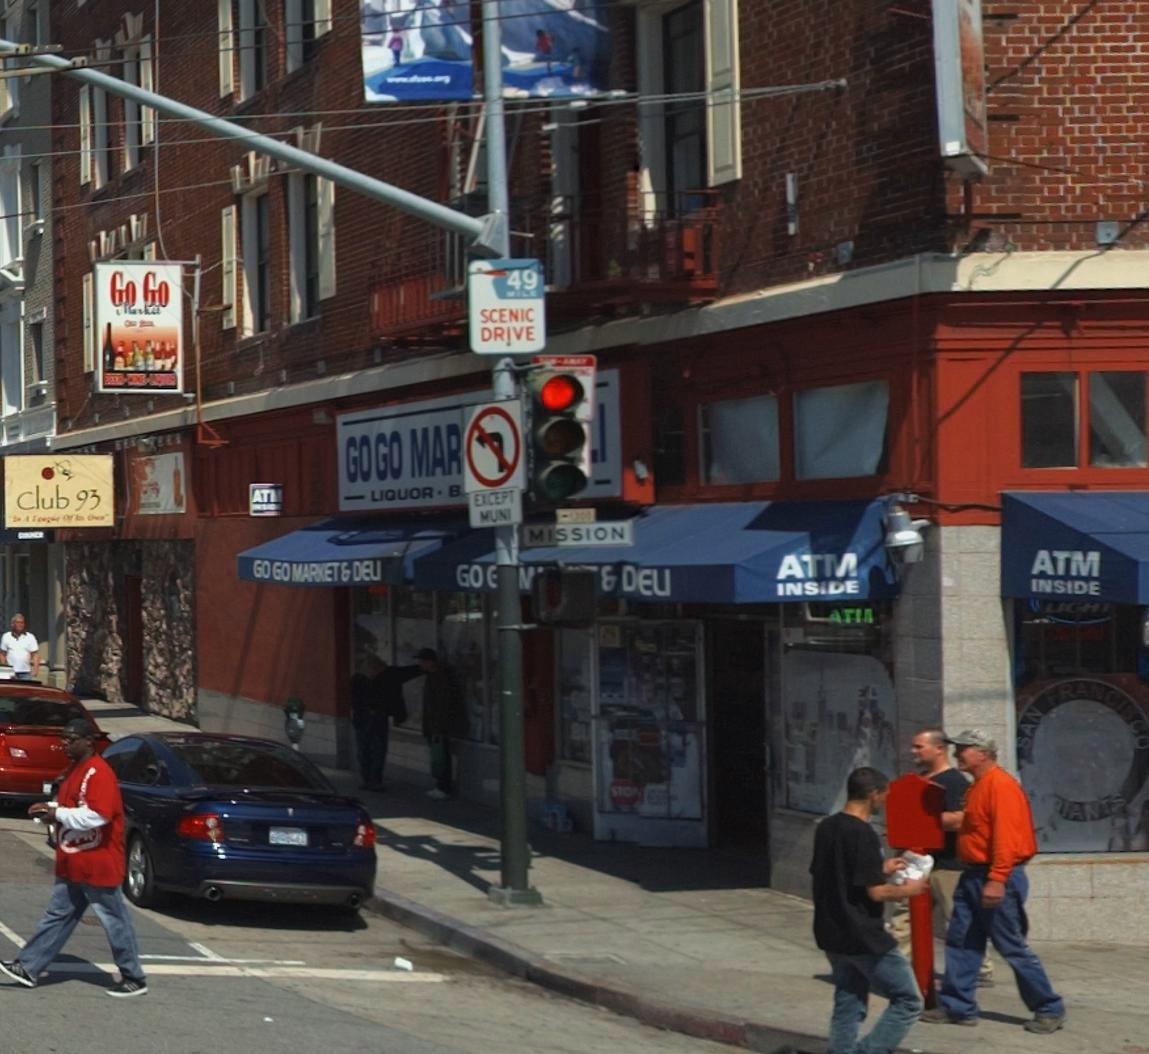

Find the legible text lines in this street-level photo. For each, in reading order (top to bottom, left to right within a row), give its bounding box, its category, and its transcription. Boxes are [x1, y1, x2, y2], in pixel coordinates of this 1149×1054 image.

[107, 269, 171, 308] BusinessName: Go Go
[503, 268, 540, 290] None: 49
[115, 303, 163, 316] BusinessName: Market
[478, 306, 536, 324] None: SCENIC
[479, 325, 536, 343] None: DRIVE
[343, 418, 463, 485] BusinessName: GO GO MAR
[12, 479, 105, 512] BusinessName: club 93
[252, 487, 282, 504] None: ATM
[367, 484, 461, 503] None: LIQUOR * B
[473, 487, 515, 508] None: EXCEPT
[478, 507, 512, 524] None: MUNI
[559, 510, 592, 522] StreetNumberRange: <-1300
[526, 525, 626, 545] StreetName: MISSION
[250, 558, 383, 584] BusinessName: GO GO MARKET & DELI
[455, 564, 485, 588] None: GO
[599, 565, 678, 600] None: & DELI
[774, 551, 859, 580] None: ATM
[773, 579, 862, 596] None: INSIDE
[1028, 578, 1103, 595] None: INSIDE
[1028, 548, 1104, 578] None: ATM
[827, 606, 876, 624] None: AT*
[1043, 598, 1116, 614] None: LIGHT
[1013, 677, 1148, 751] None: SAN FRANCISCO
[610, 785, 639, 798] None: STOP
[1043, 789, 1132, 824] None: *IANTS